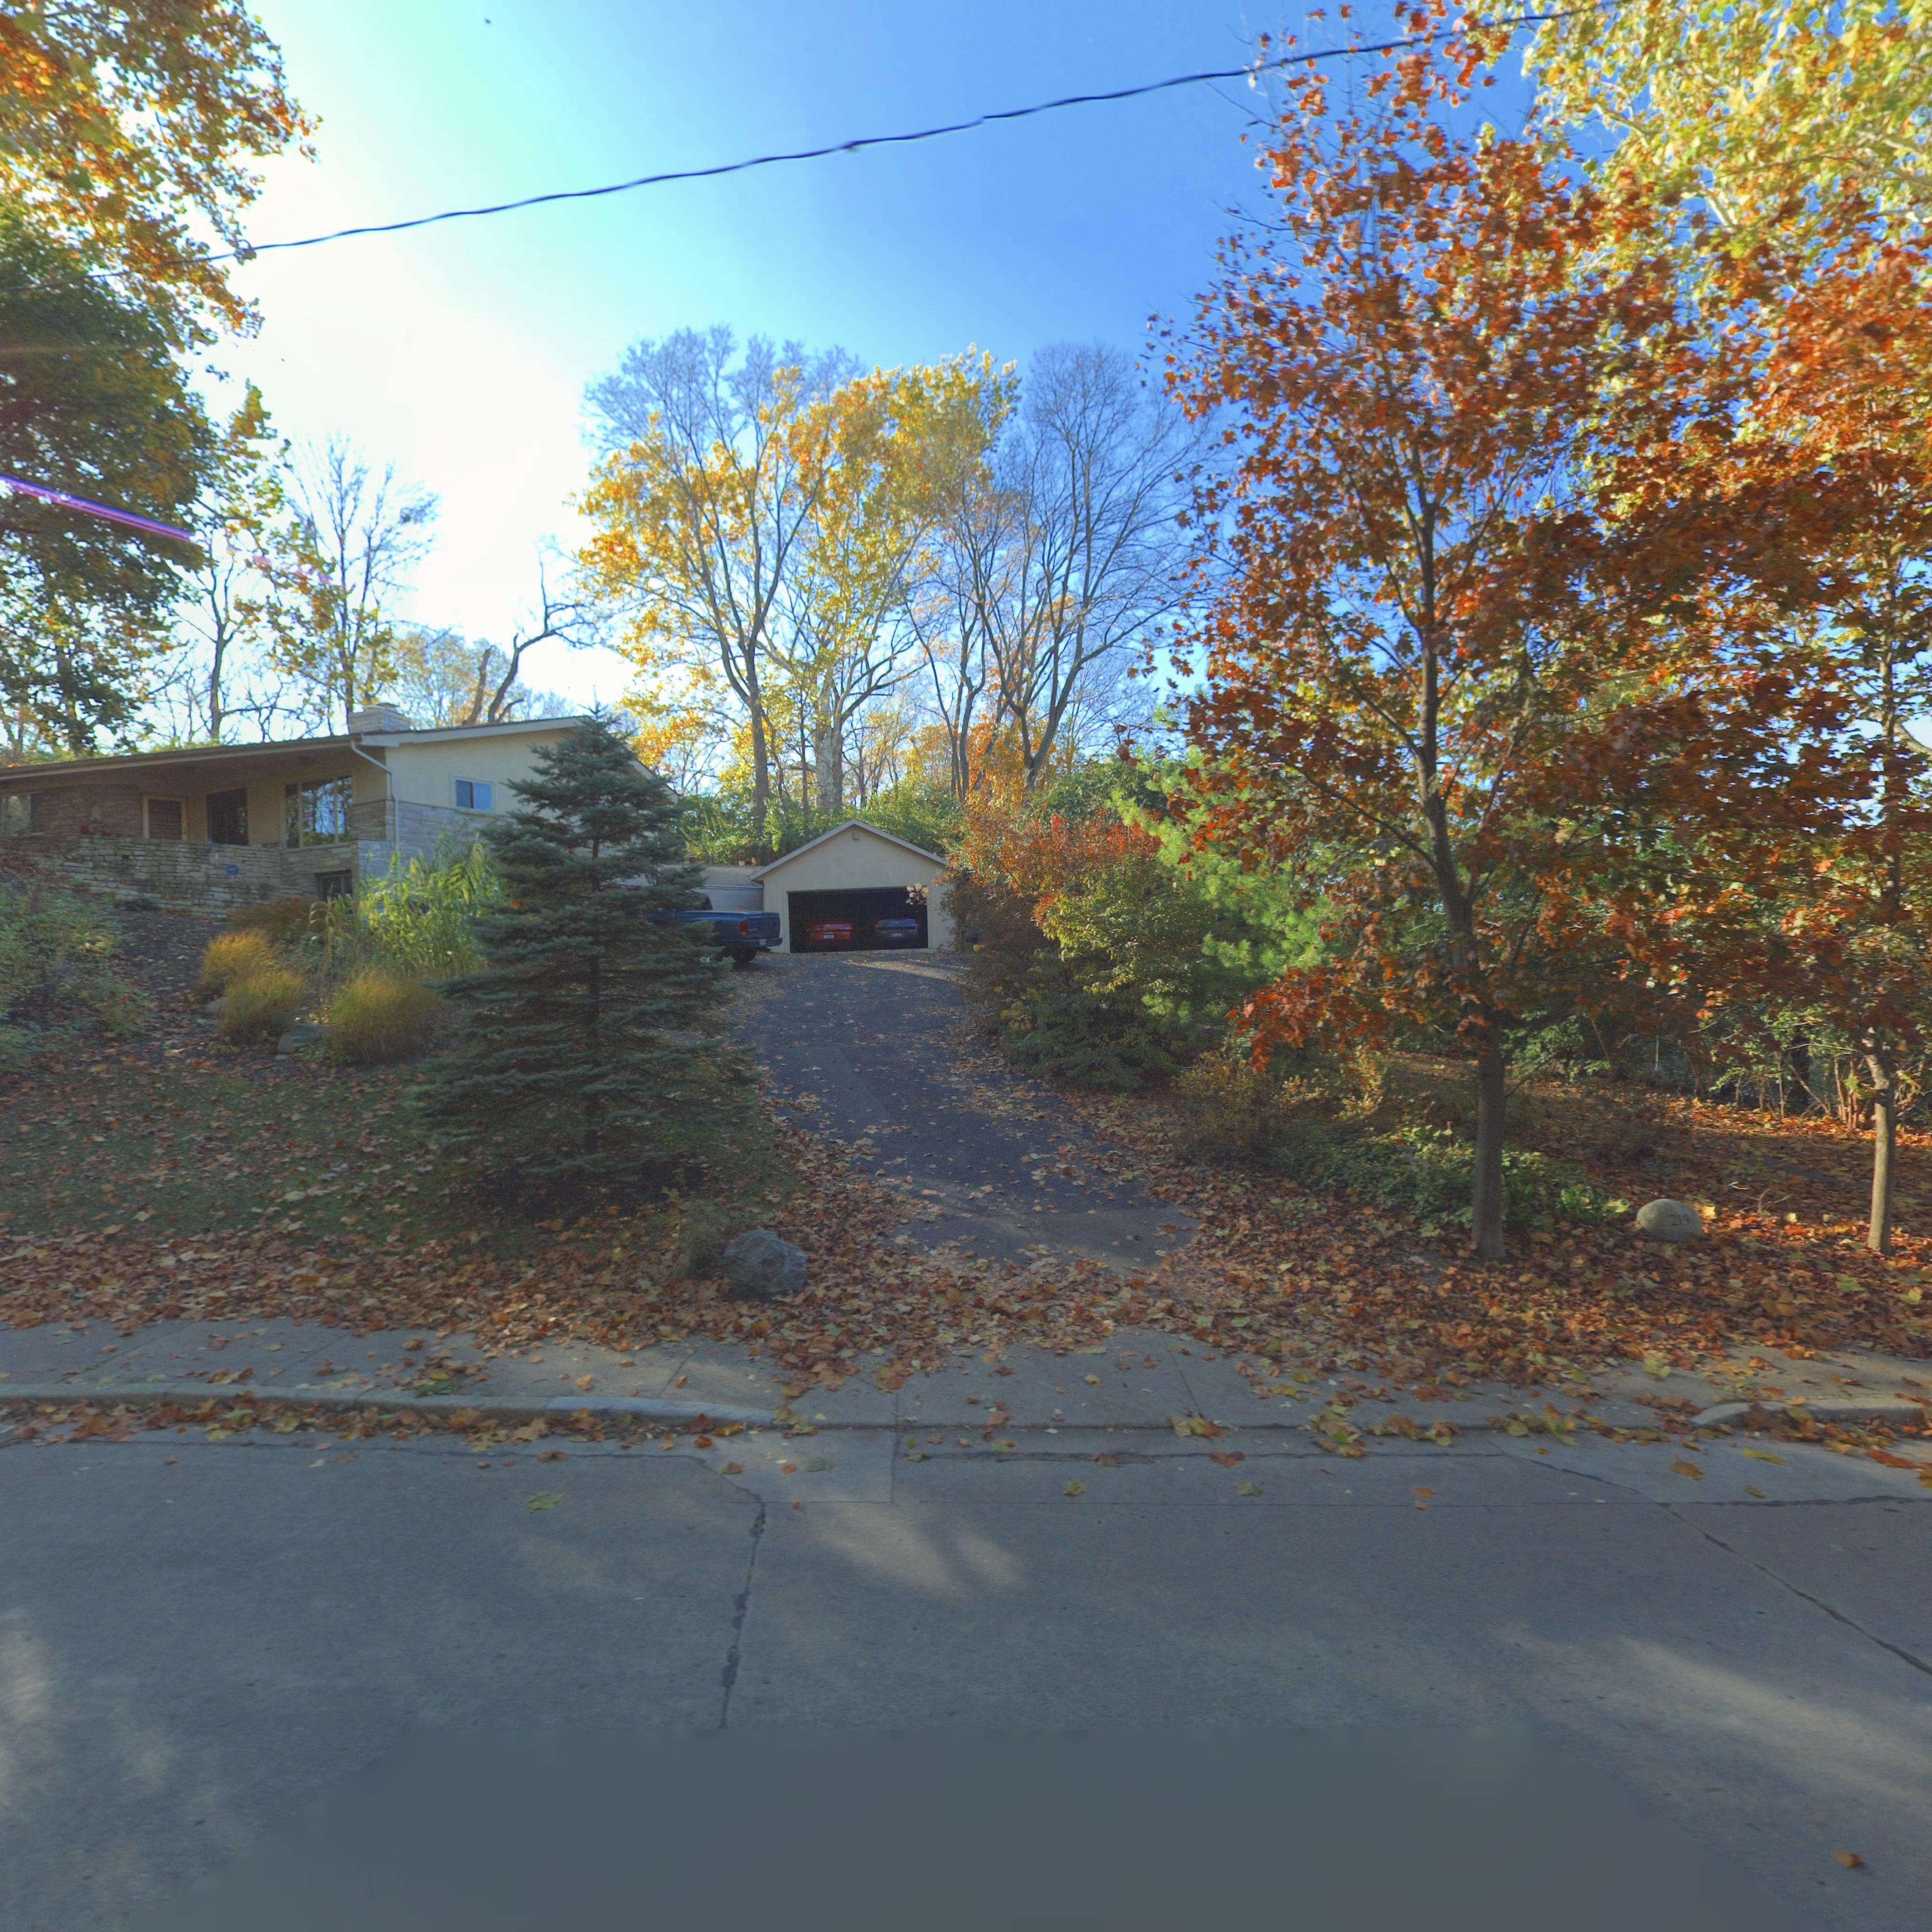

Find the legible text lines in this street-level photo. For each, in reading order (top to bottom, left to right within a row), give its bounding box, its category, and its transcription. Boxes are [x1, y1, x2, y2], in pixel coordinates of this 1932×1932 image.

[1668, 1213, 1690, 1227] StreetNumber: 219